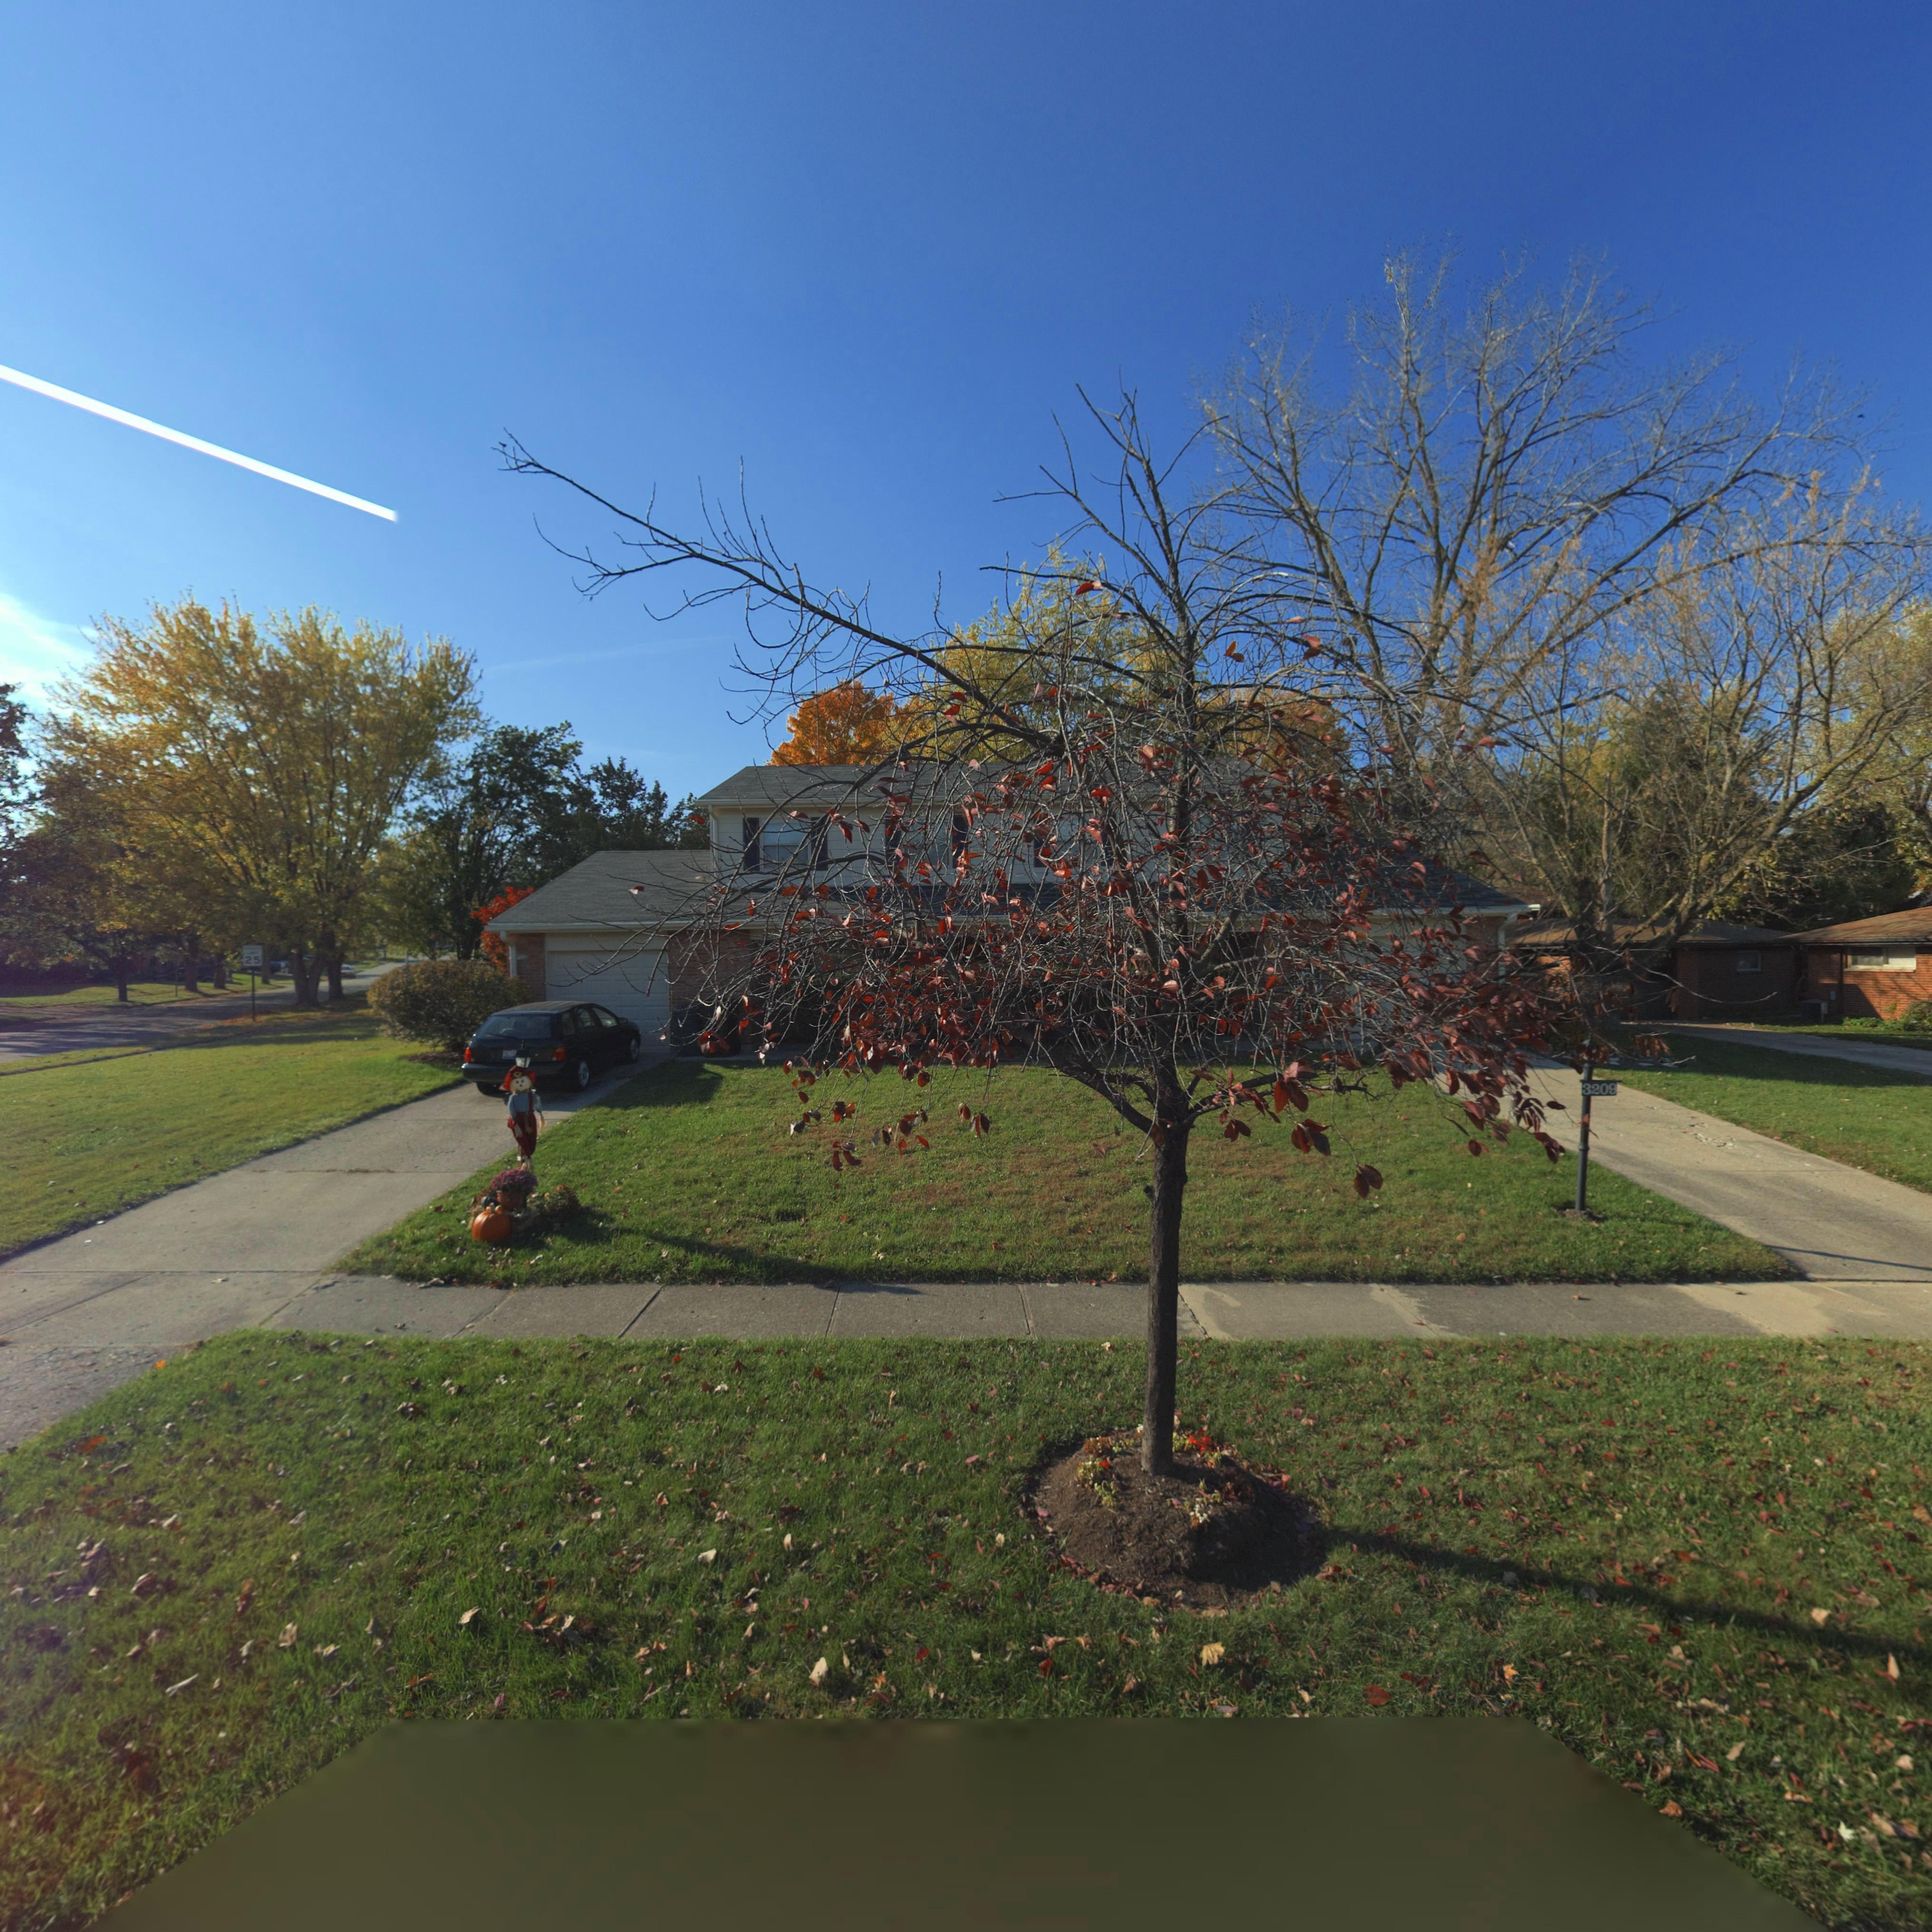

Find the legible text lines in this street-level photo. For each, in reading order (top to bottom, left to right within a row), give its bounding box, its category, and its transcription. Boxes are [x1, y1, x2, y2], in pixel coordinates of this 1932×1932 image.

[1582, 1082, 1616, 1095] StreetNumber: 3209